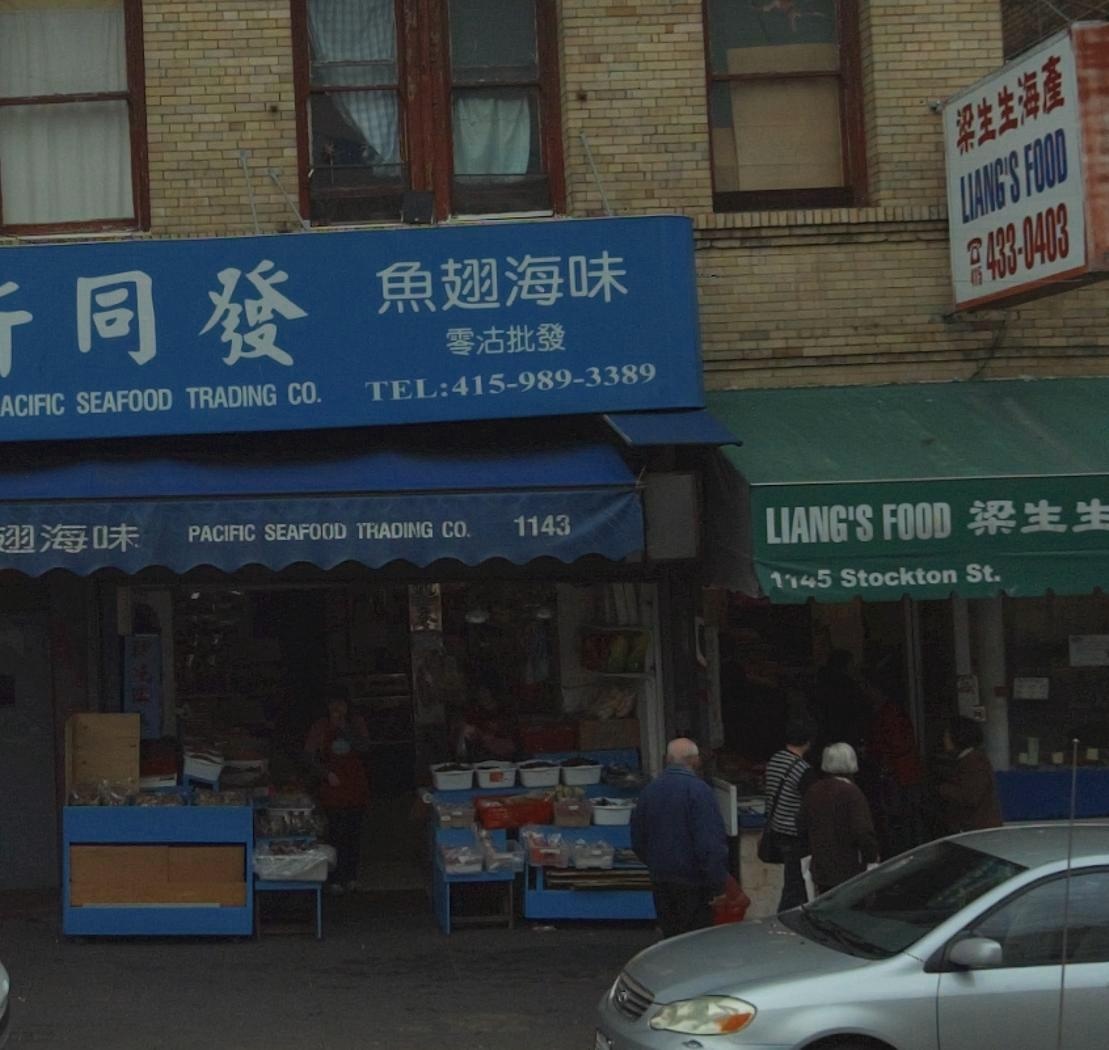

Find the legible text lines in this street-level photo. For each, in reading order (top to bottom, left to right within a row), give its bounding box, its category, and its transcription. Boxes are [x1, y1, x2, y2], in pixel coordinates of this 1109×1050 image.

[954, 120, 1073, 229] BusinessName: LIANG'S FOOD
[982, 195, 1073, 286] None: 433-0403
[0, 376, 331, 423] BusinessName: ACIFIC SEAFOOD TRADING CO.
[361, 359, 662, 406] None: TEL:415-989-3389
[185, 516, 473, 547] BusinessName: PACIFIC SEAFOOD TRADING CO.
[510, 511, 575, 540] StreetNumber: 1143
[761, 497, 958, 548] BusinessName: LIANG'S FOOD
[765, 565, 837, 593] StreetNumber: 1*4*5
[838, 558, 1004, 591] StreetName: Stockton St.